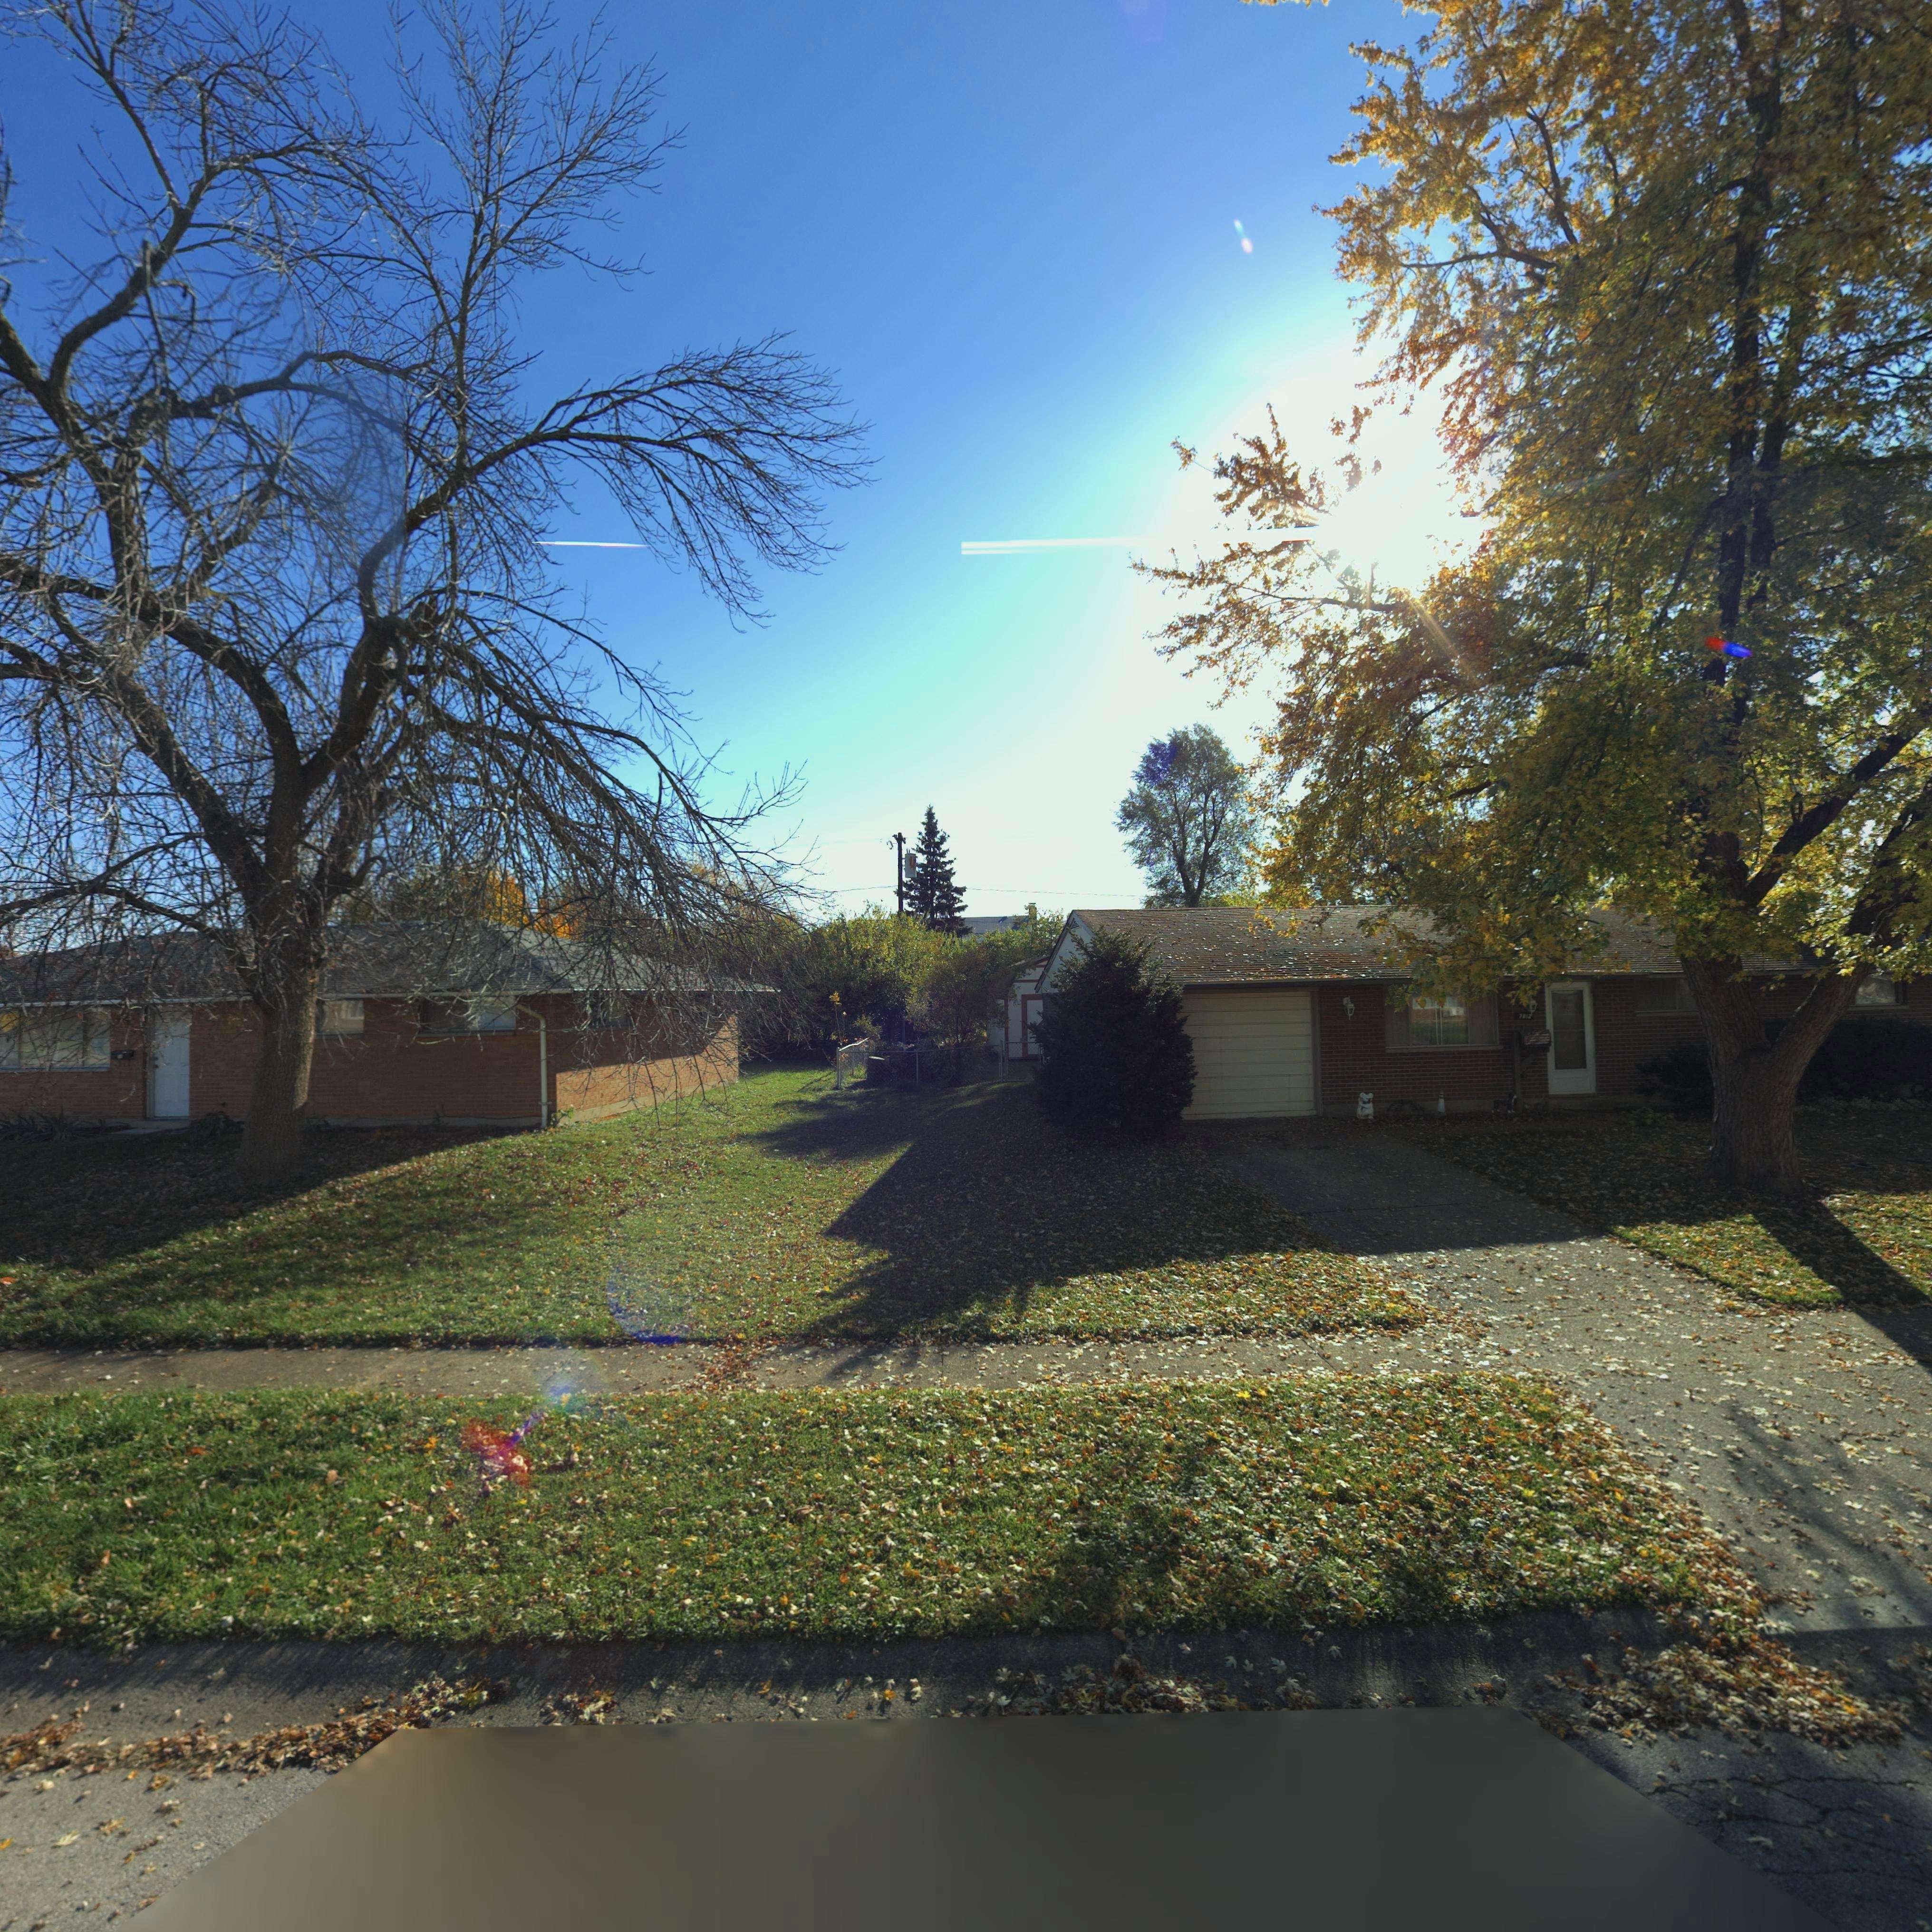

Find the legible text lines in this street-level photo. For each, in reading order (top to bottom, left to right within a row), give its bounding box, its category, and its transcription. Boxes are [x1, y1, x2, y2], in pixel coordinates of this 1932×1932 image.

[1517, 1013, 1533, 1020] StreetNumber: 7*1*